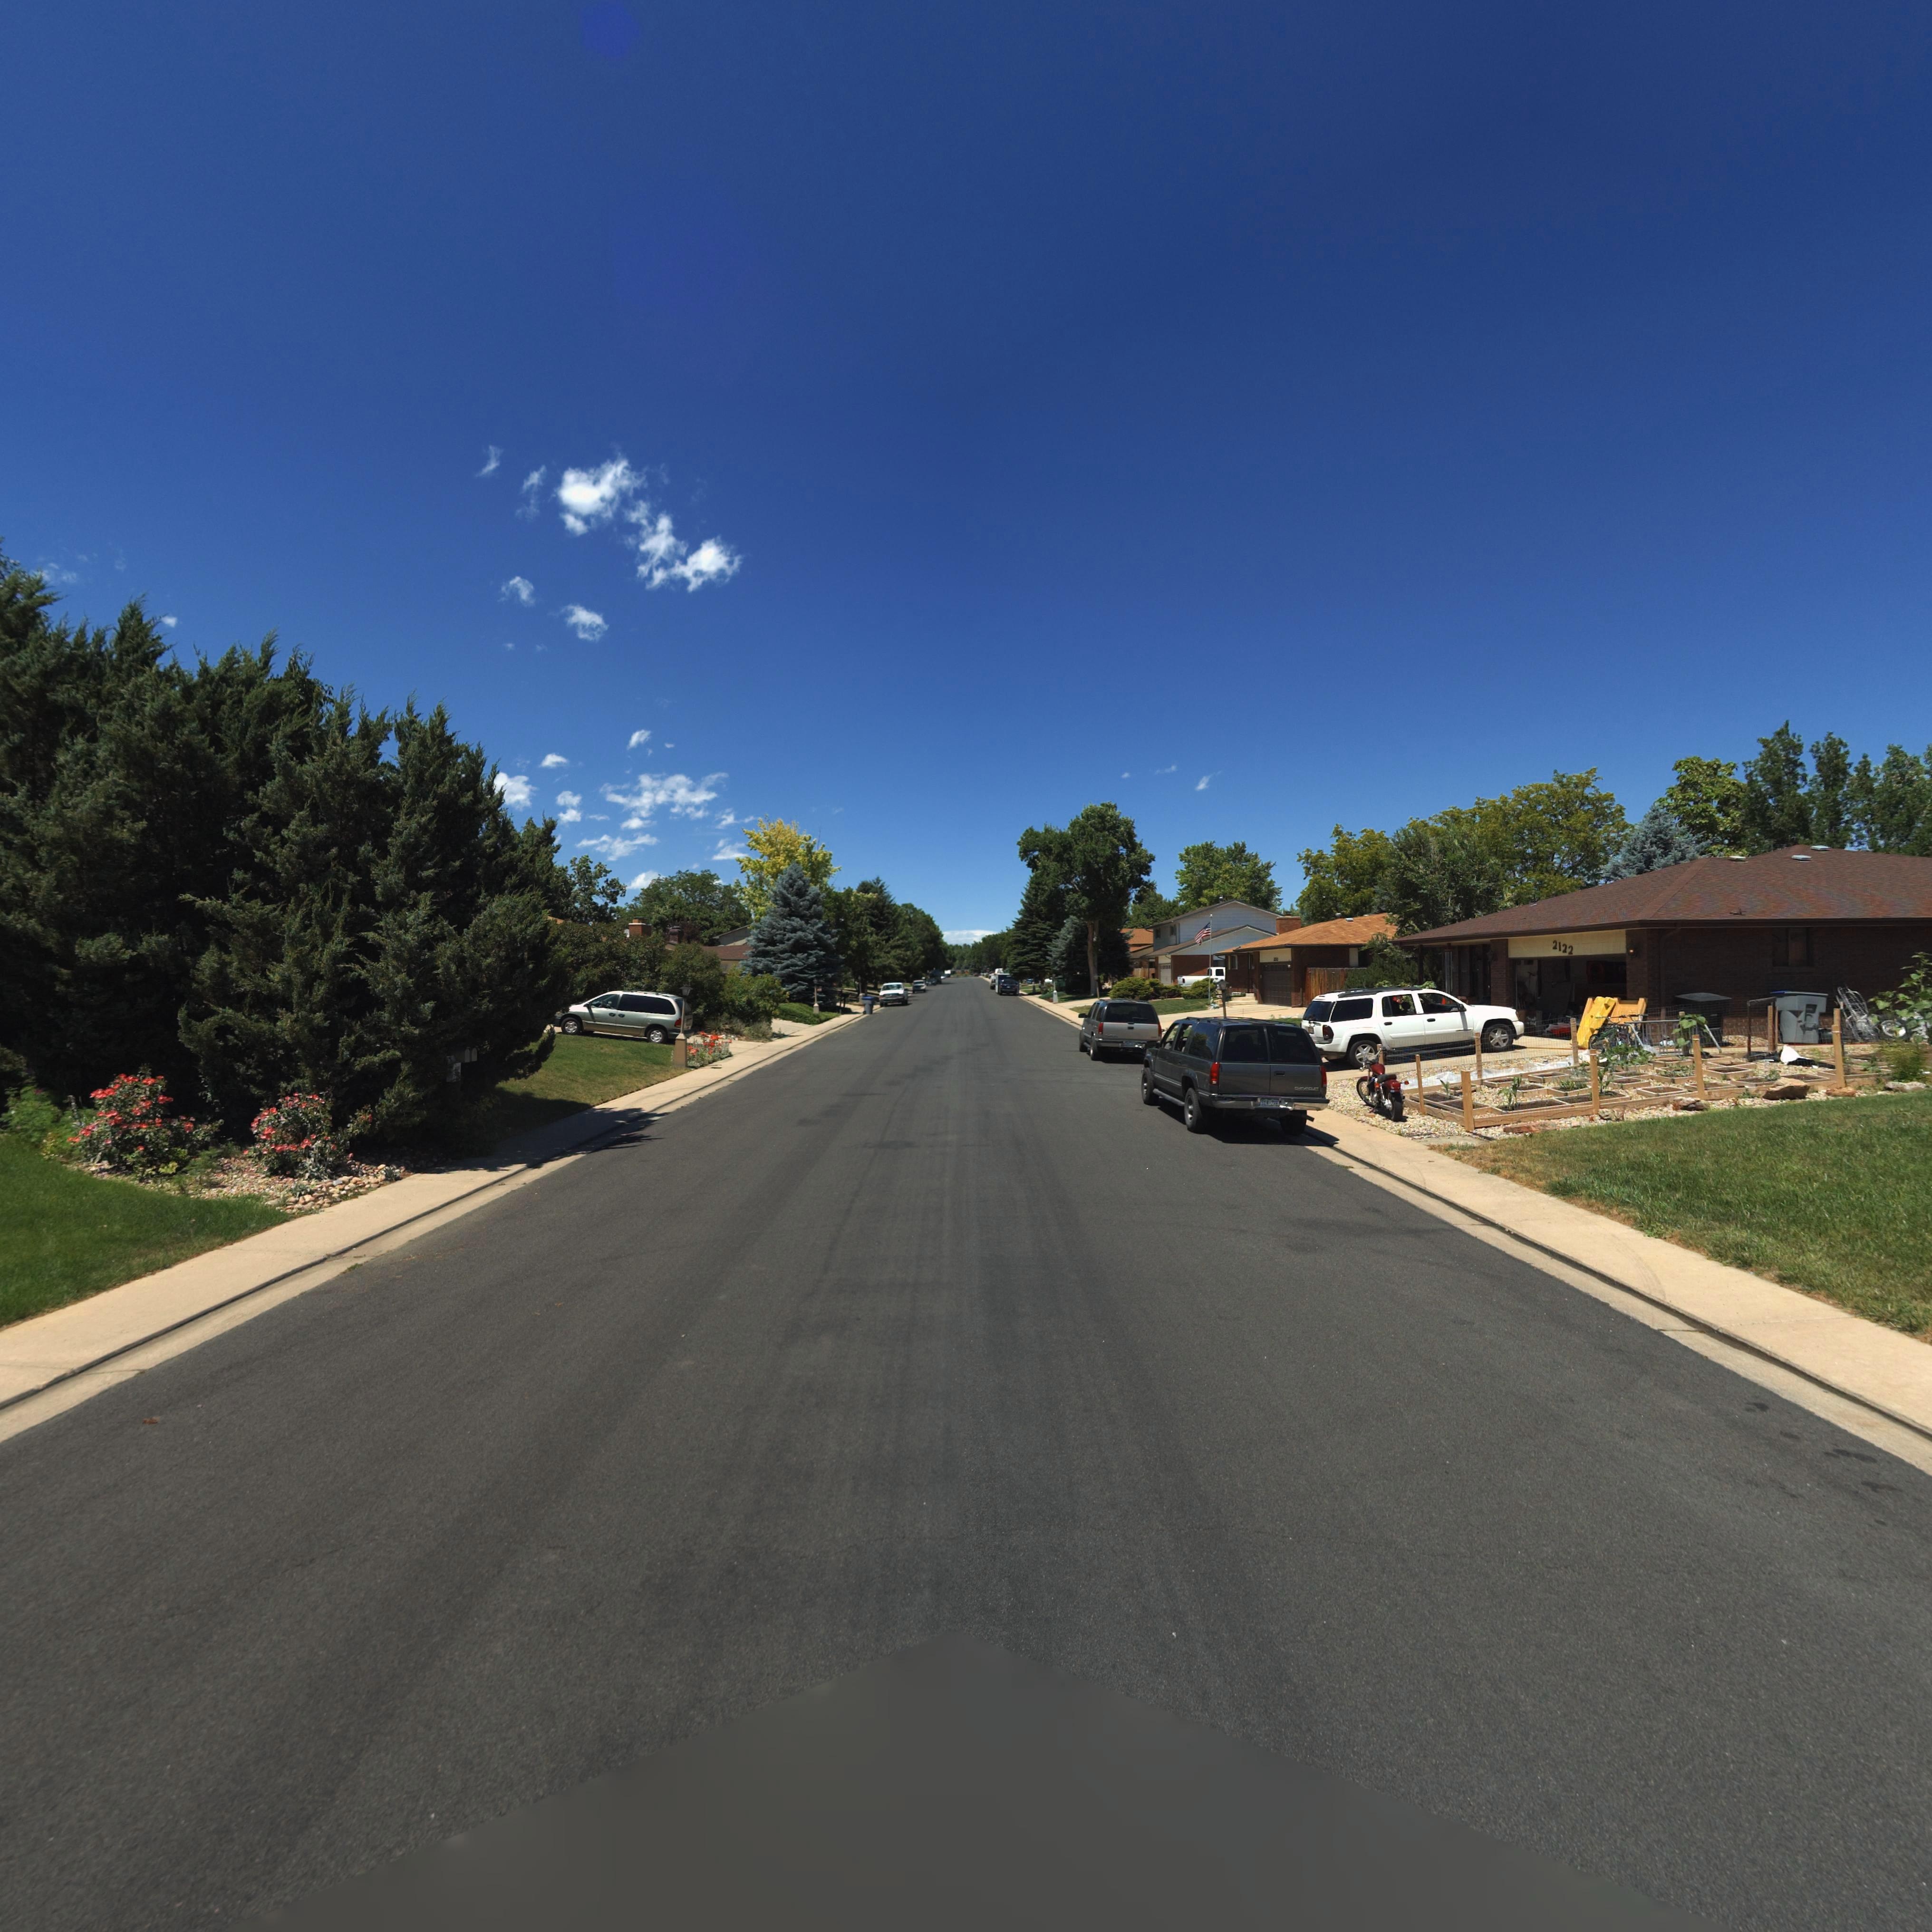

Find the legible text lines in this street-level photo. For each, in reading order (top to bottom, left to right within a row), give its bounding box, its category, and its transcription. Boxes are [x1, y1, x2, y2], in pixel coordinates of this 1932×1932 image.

[1552, 939, 1574, 955] StreetNumber: 2122